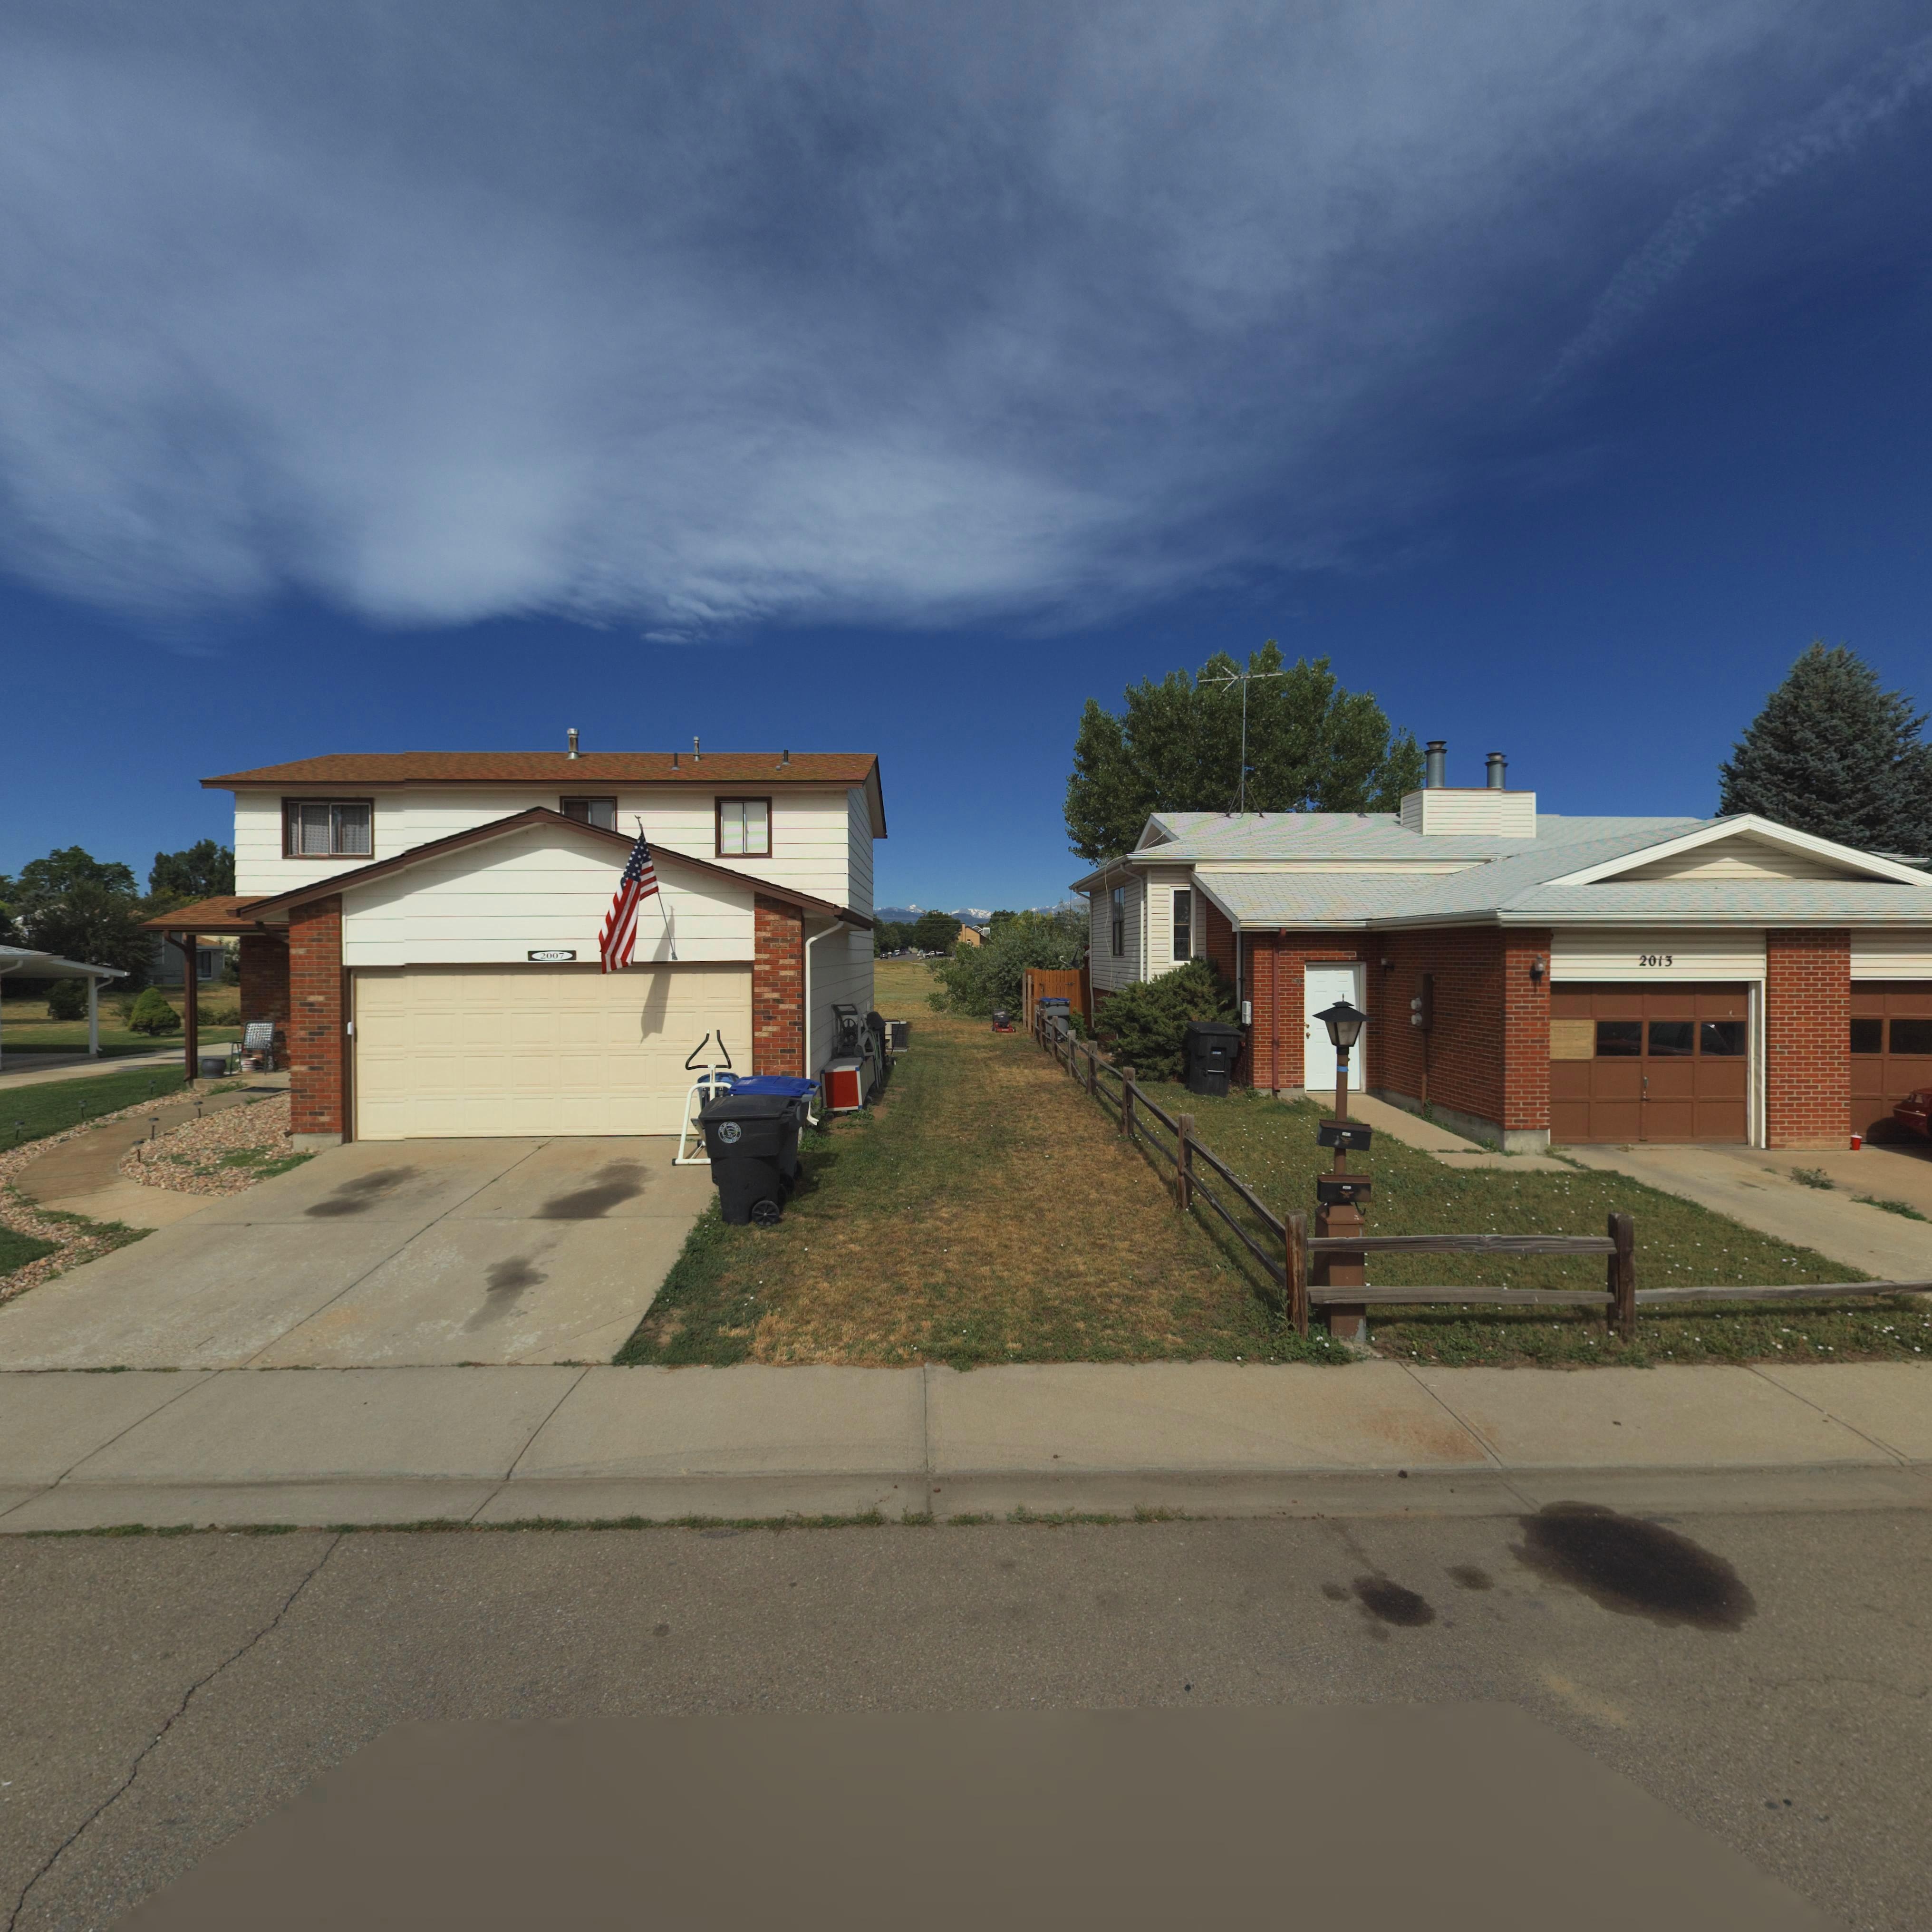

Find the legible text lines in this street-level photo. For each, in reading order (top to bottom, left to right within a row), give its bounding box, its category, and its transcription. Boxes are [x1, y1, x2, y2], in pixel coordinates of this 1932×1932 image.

[540, 952, 564, 959] StreetNumber: 2007
[1638, 955, 1672, 967] StreetNumber: 2013